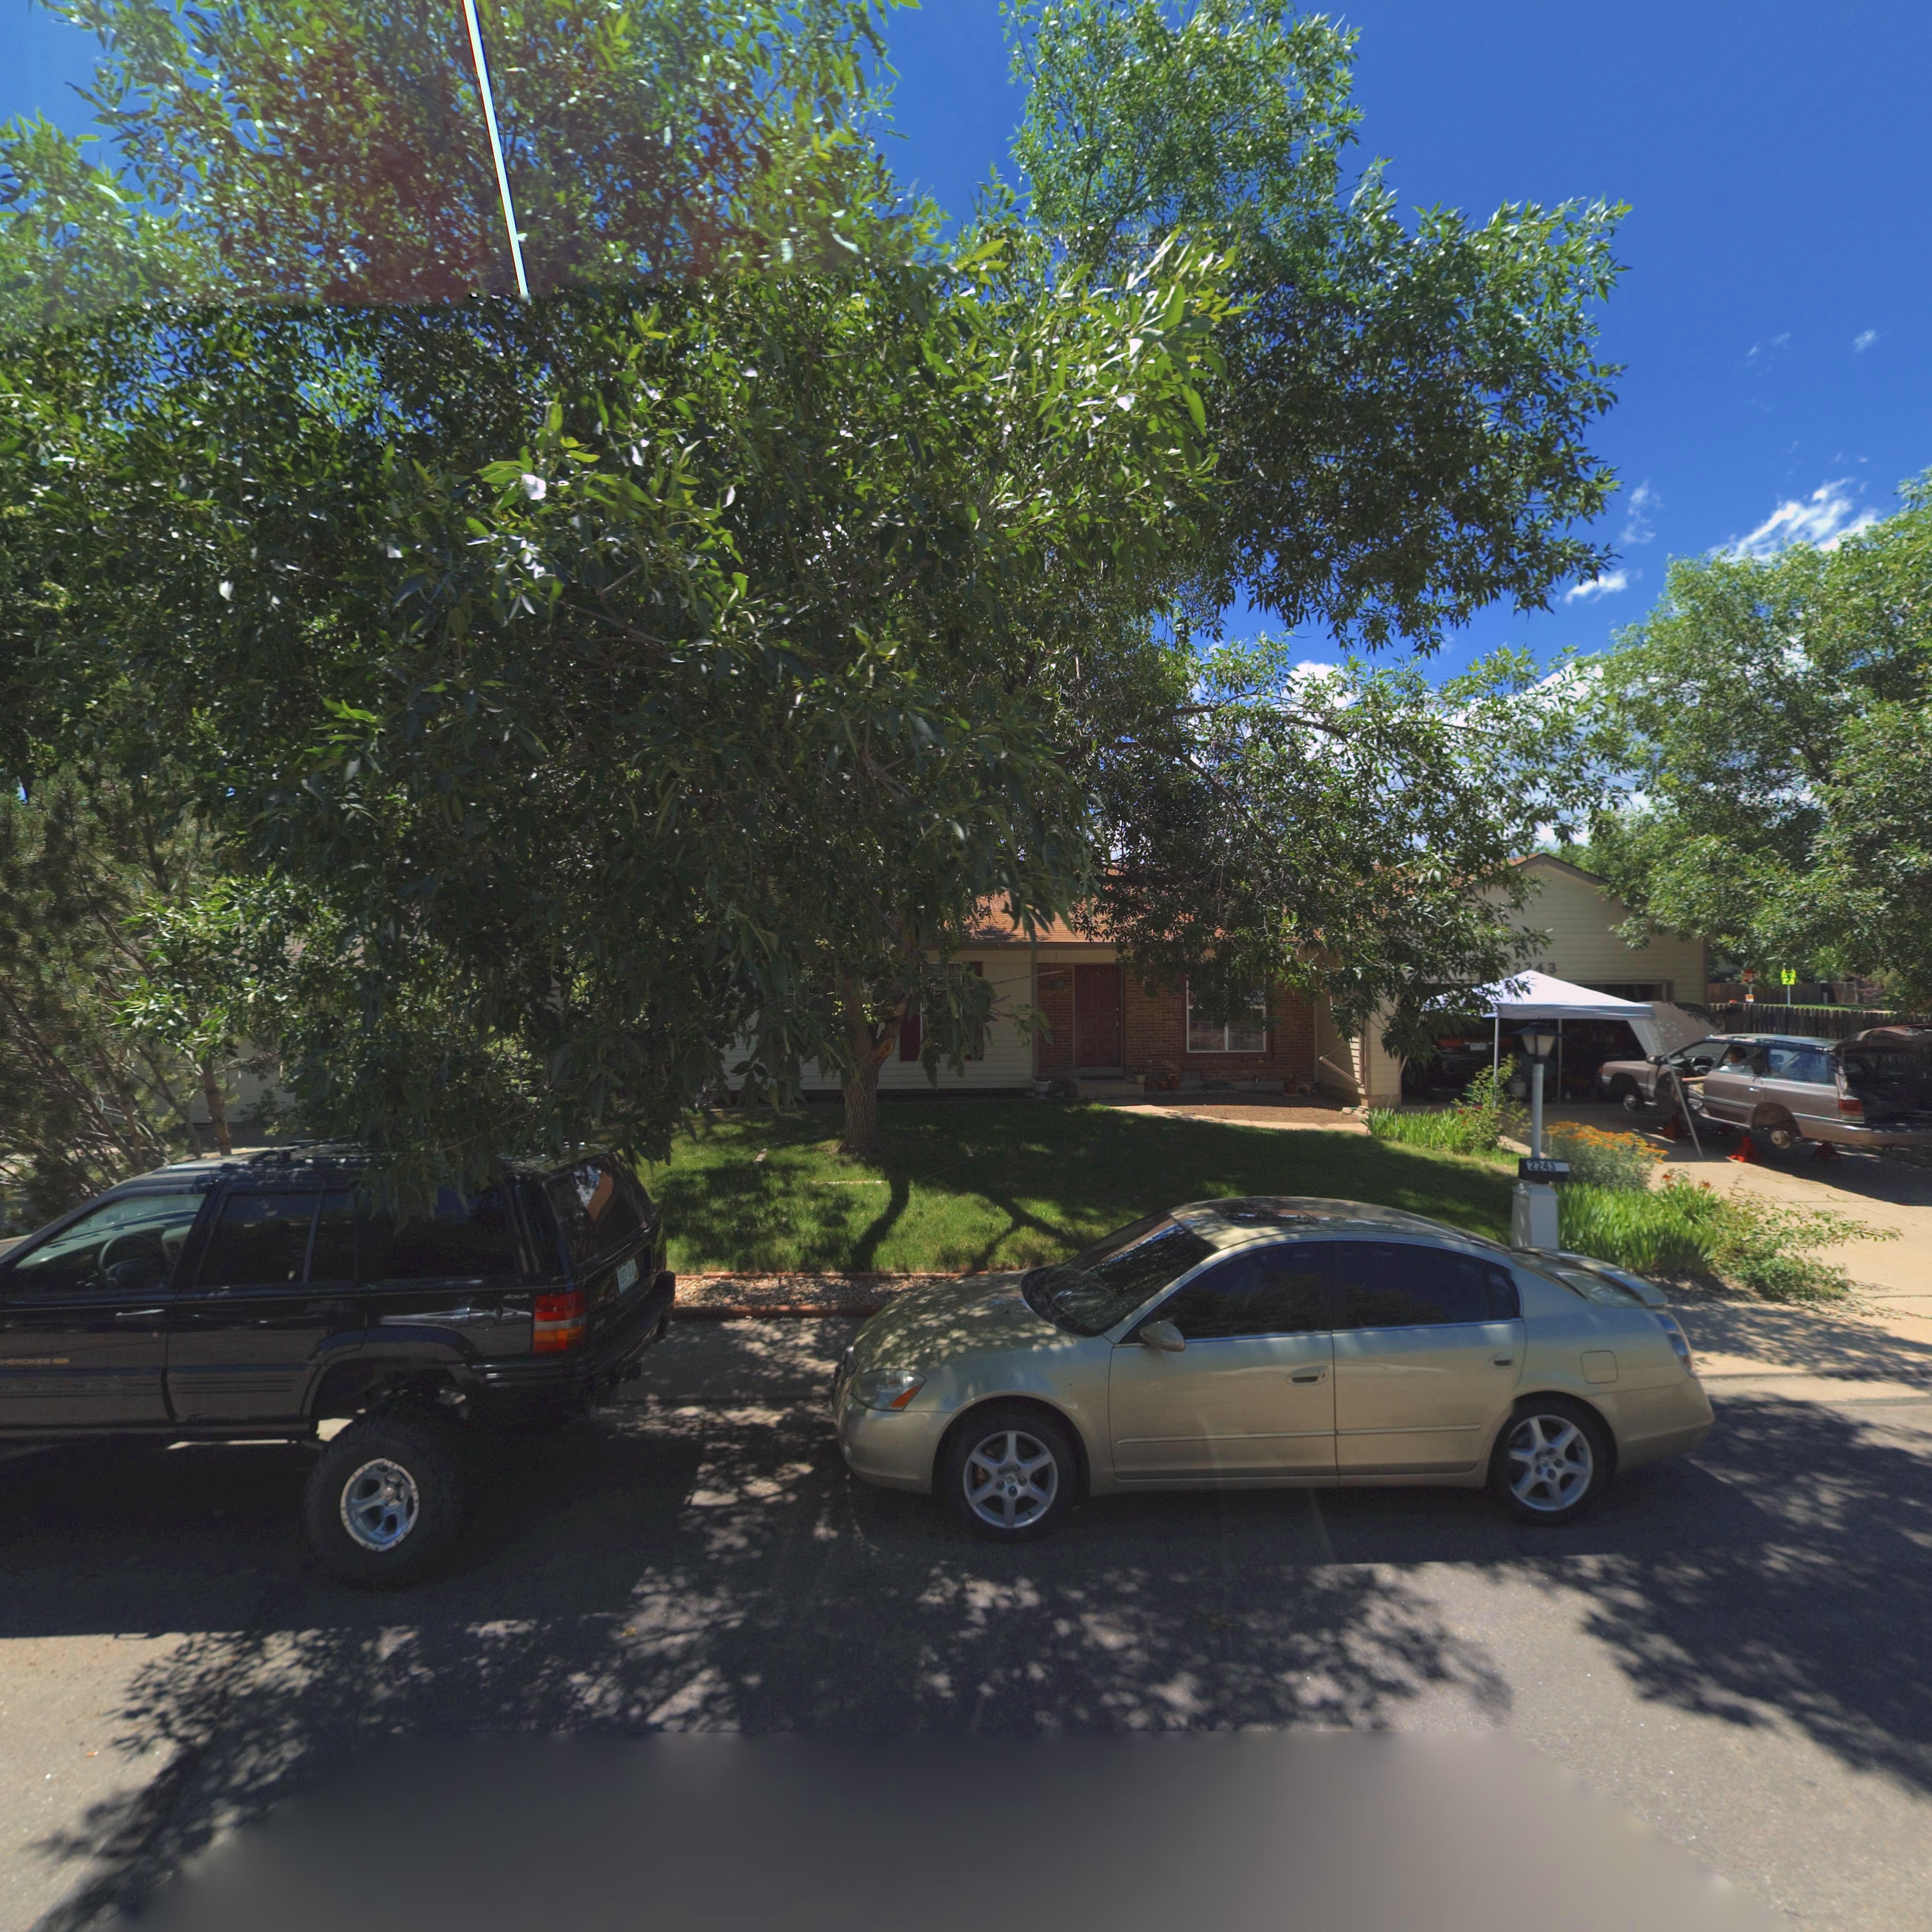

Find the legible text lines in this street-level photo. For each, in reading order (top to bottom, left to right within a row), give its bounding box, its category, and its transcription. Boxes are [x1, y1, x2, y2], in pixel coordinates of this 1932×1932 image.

[1528, 1160, 1556, 1171] StreetNumber: 2243